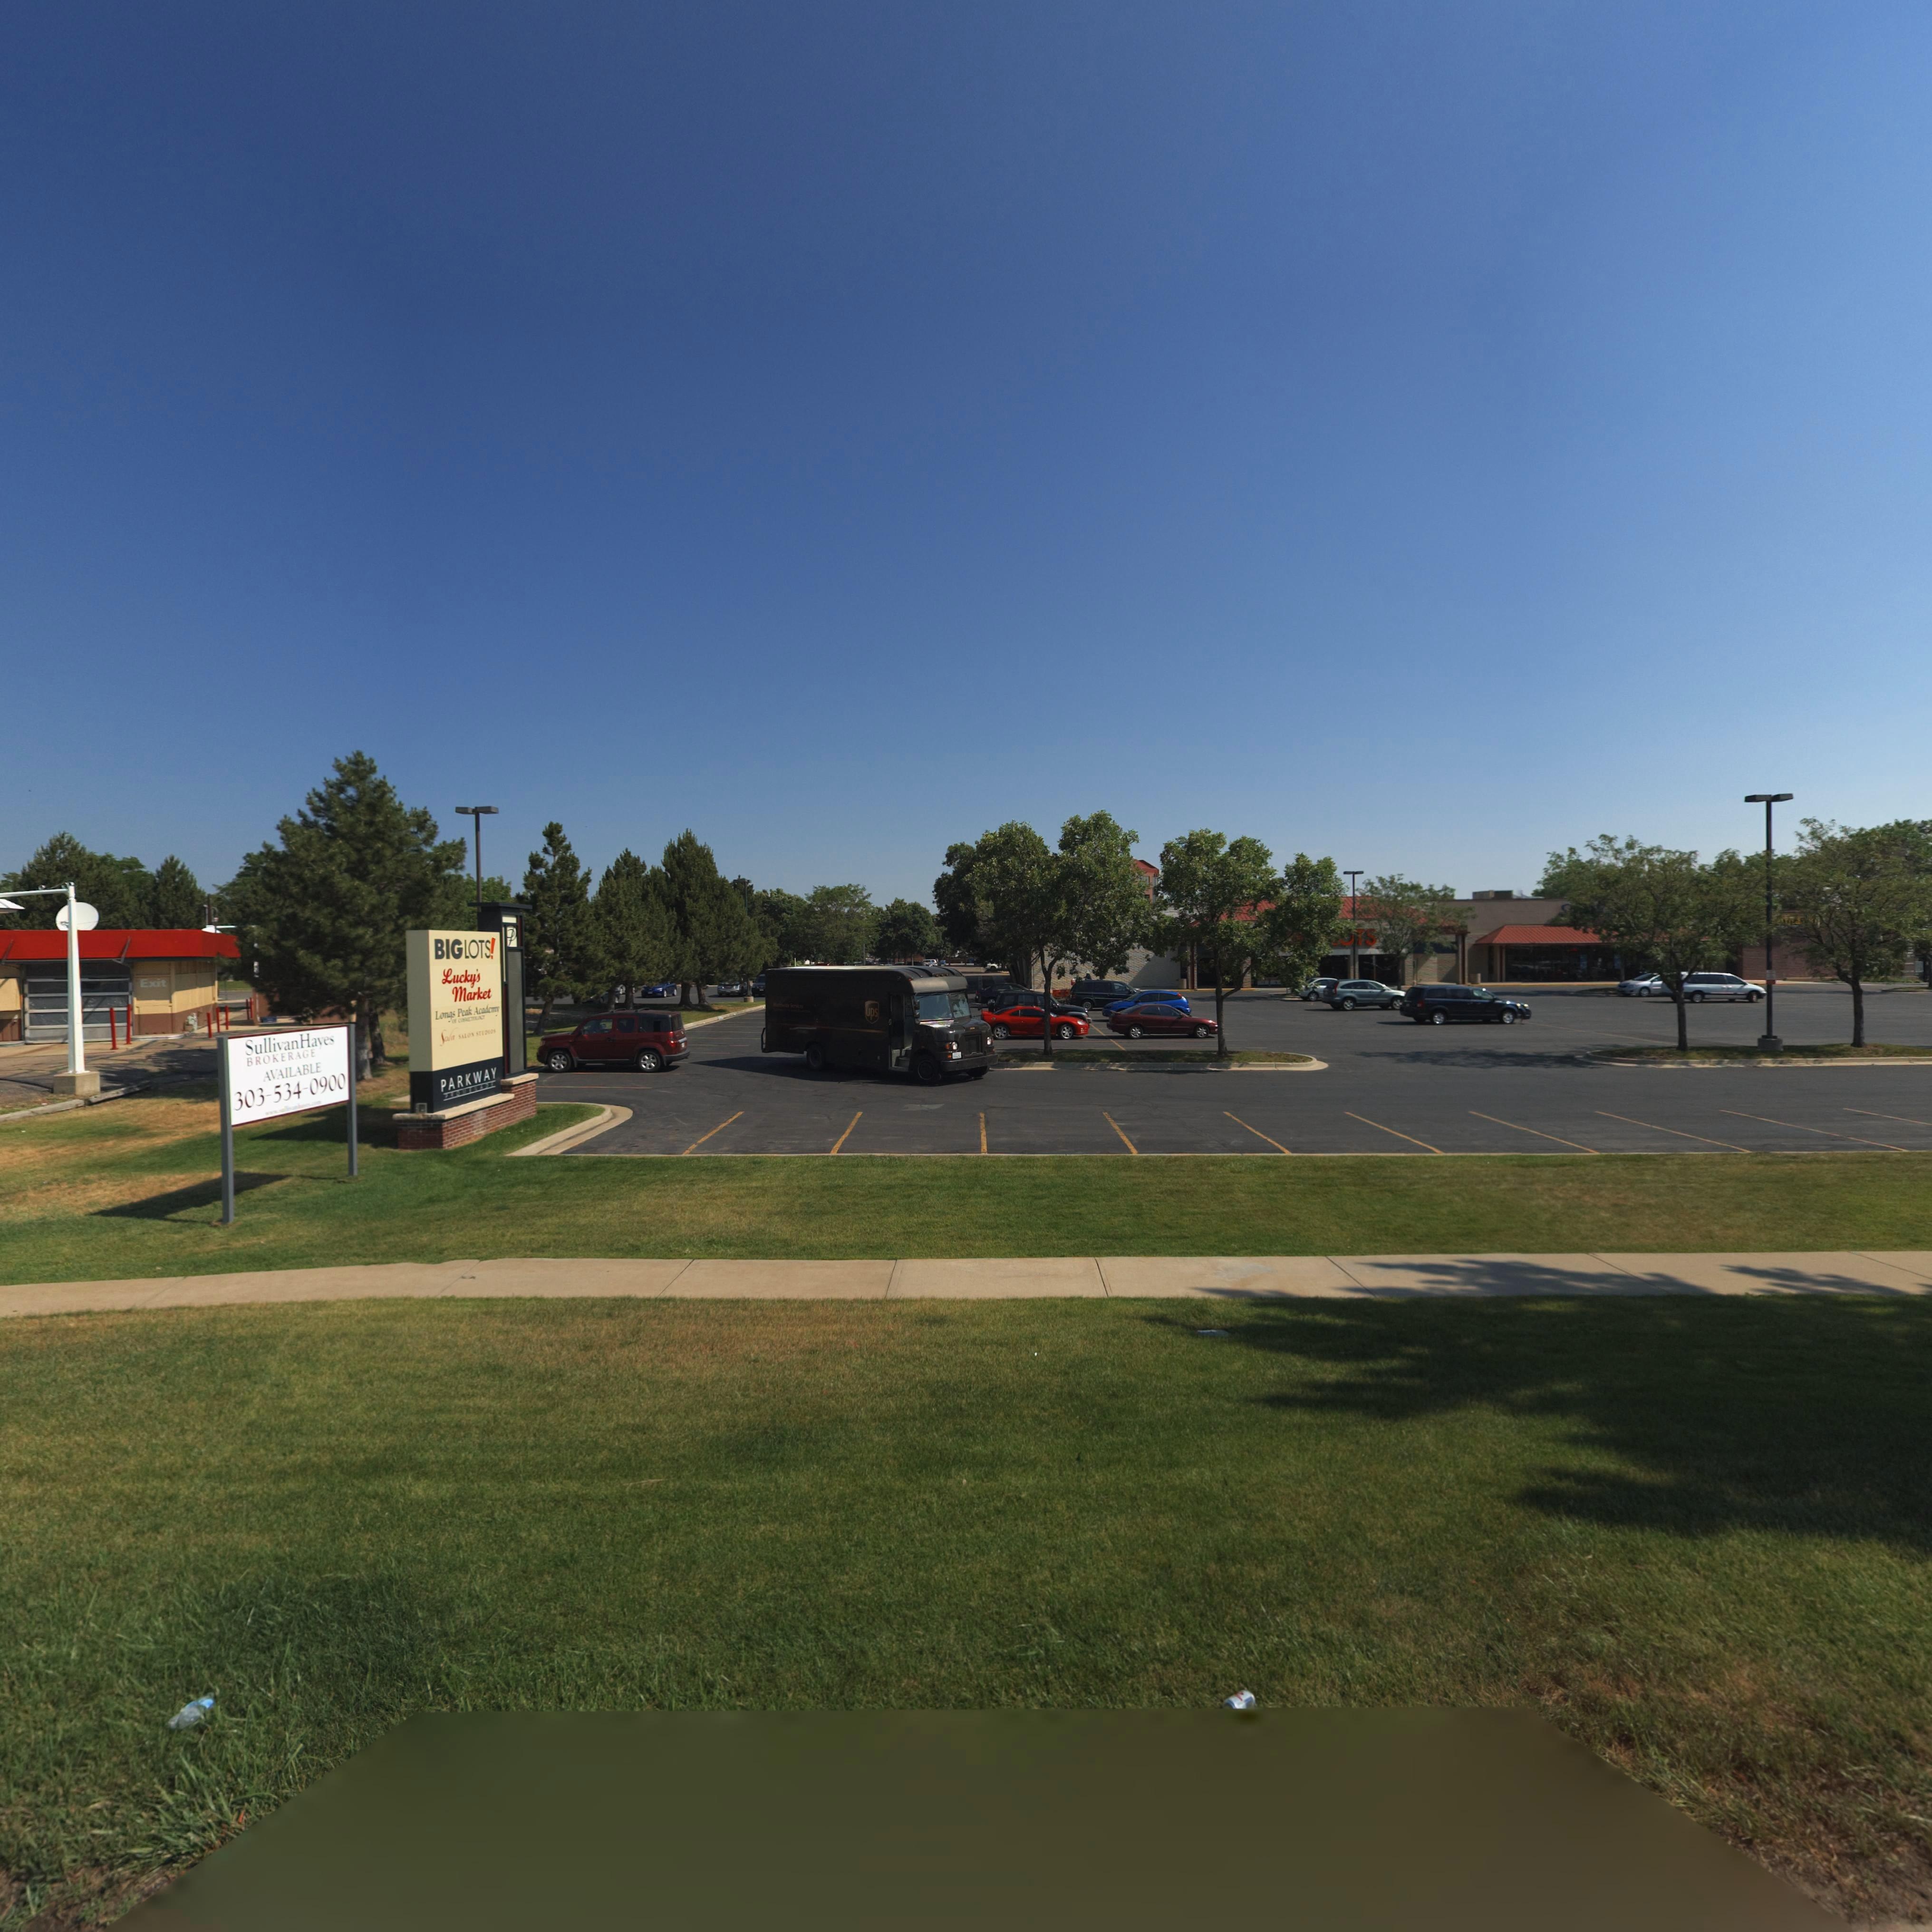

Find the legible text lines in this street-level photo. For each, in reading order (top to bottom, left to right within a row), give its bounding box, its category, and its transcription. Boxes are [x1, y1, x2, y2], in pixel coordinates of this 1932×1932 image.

[1330, 928, 1377, 946] BusinessName: ******TS
[435, 937, 496, 960] BusinessName: BIG LOTS!
[441, 967, 480, 988] BusinessName: Lucky's
[452, 985, 492, 1003] BusinessName: Market
[434, 1003, 500, 1023] BusinessName: Longs Peak Academy
[440, 1027, 496, 1046] BusinessName: Sola SALON STUDIOS